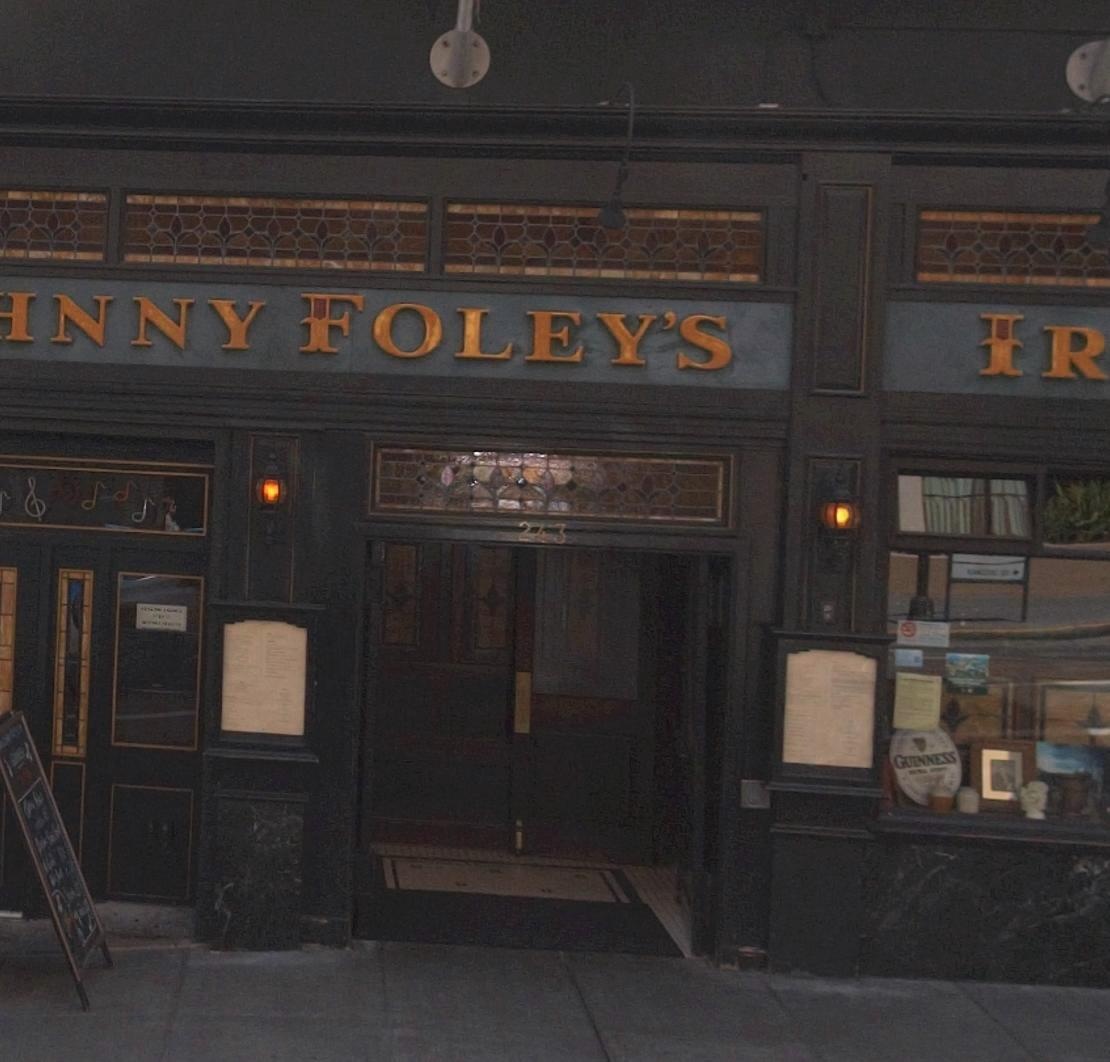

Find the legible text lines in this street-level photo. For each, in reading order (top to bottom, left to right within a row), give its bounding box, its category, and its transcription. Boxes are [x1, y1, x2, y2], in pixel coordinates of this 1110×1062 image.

[49, 290, 734, 374] BusinessName: NNY FOLEY'S
[975, 310, 1110, 382] BusinessName: IR
[516, 520, 568, 545] StreetNumber: 243
[892, 750, 958, 770] None: GUINNESS